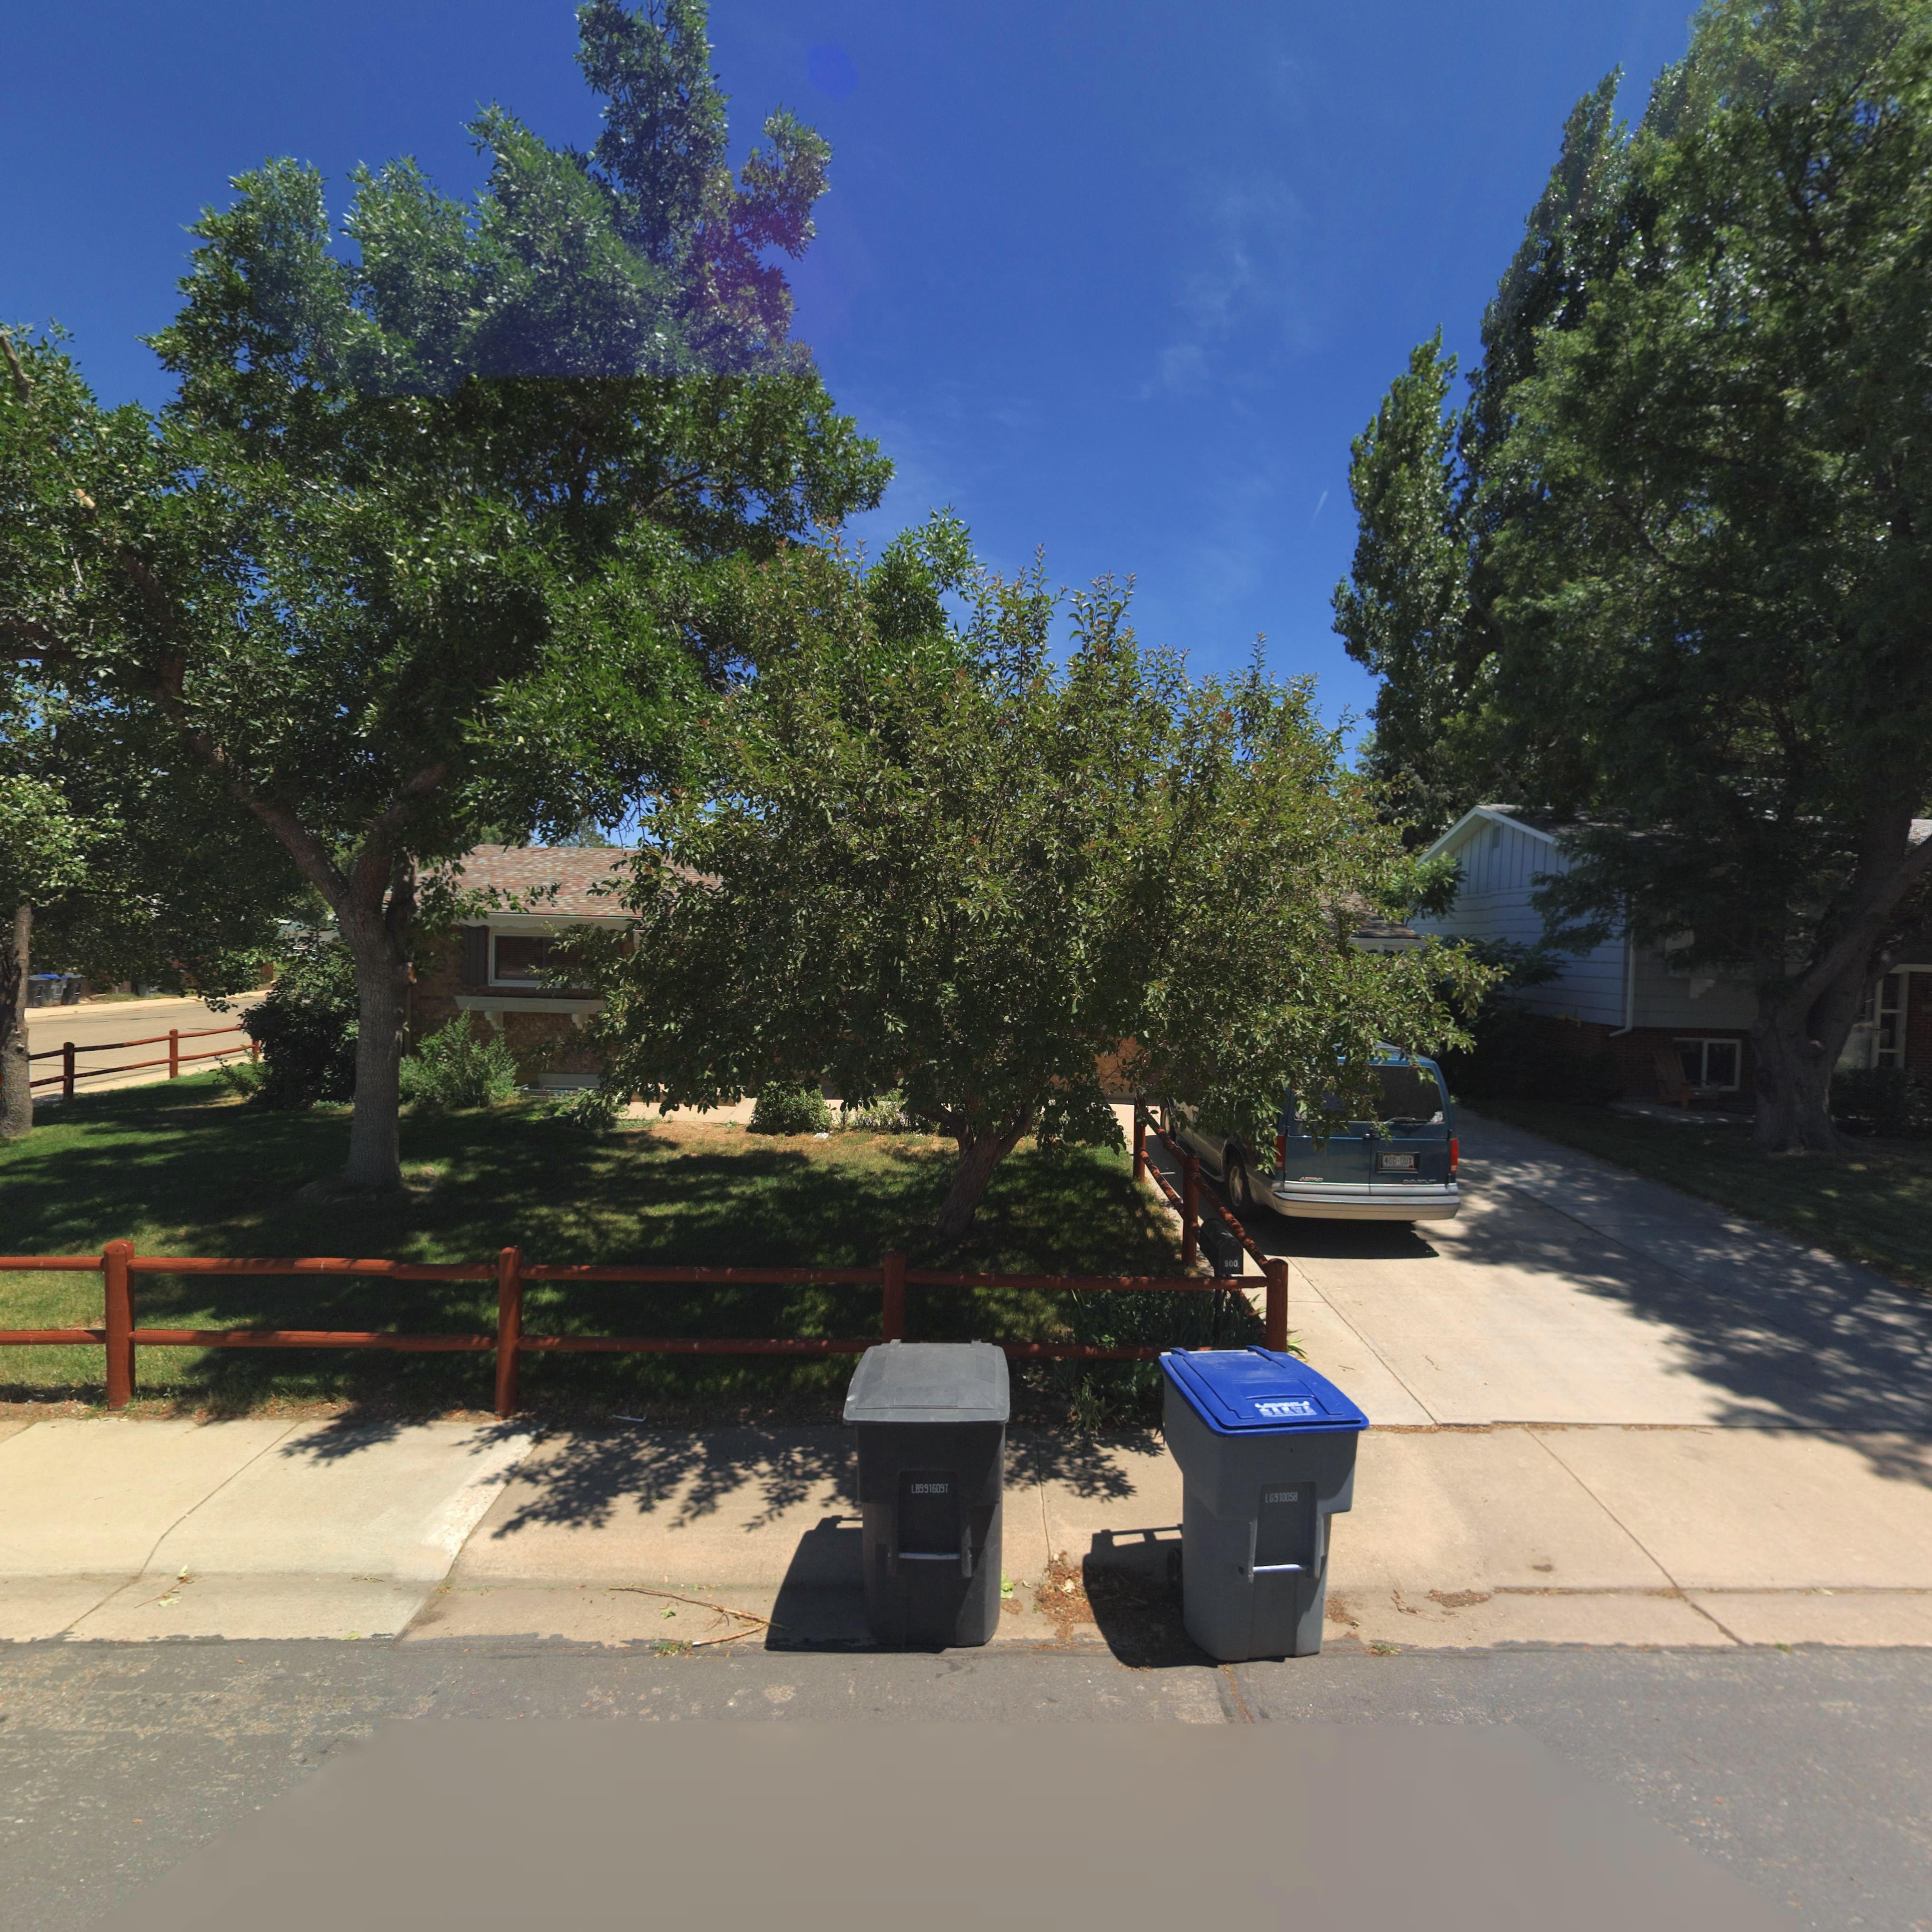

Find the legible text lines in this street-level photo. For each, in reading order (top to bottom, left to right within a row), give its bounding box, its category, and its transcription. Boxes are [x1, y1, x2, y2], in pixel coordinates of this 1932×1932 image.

[1223, 1259, 1238, 1267] StreetNumber: 900